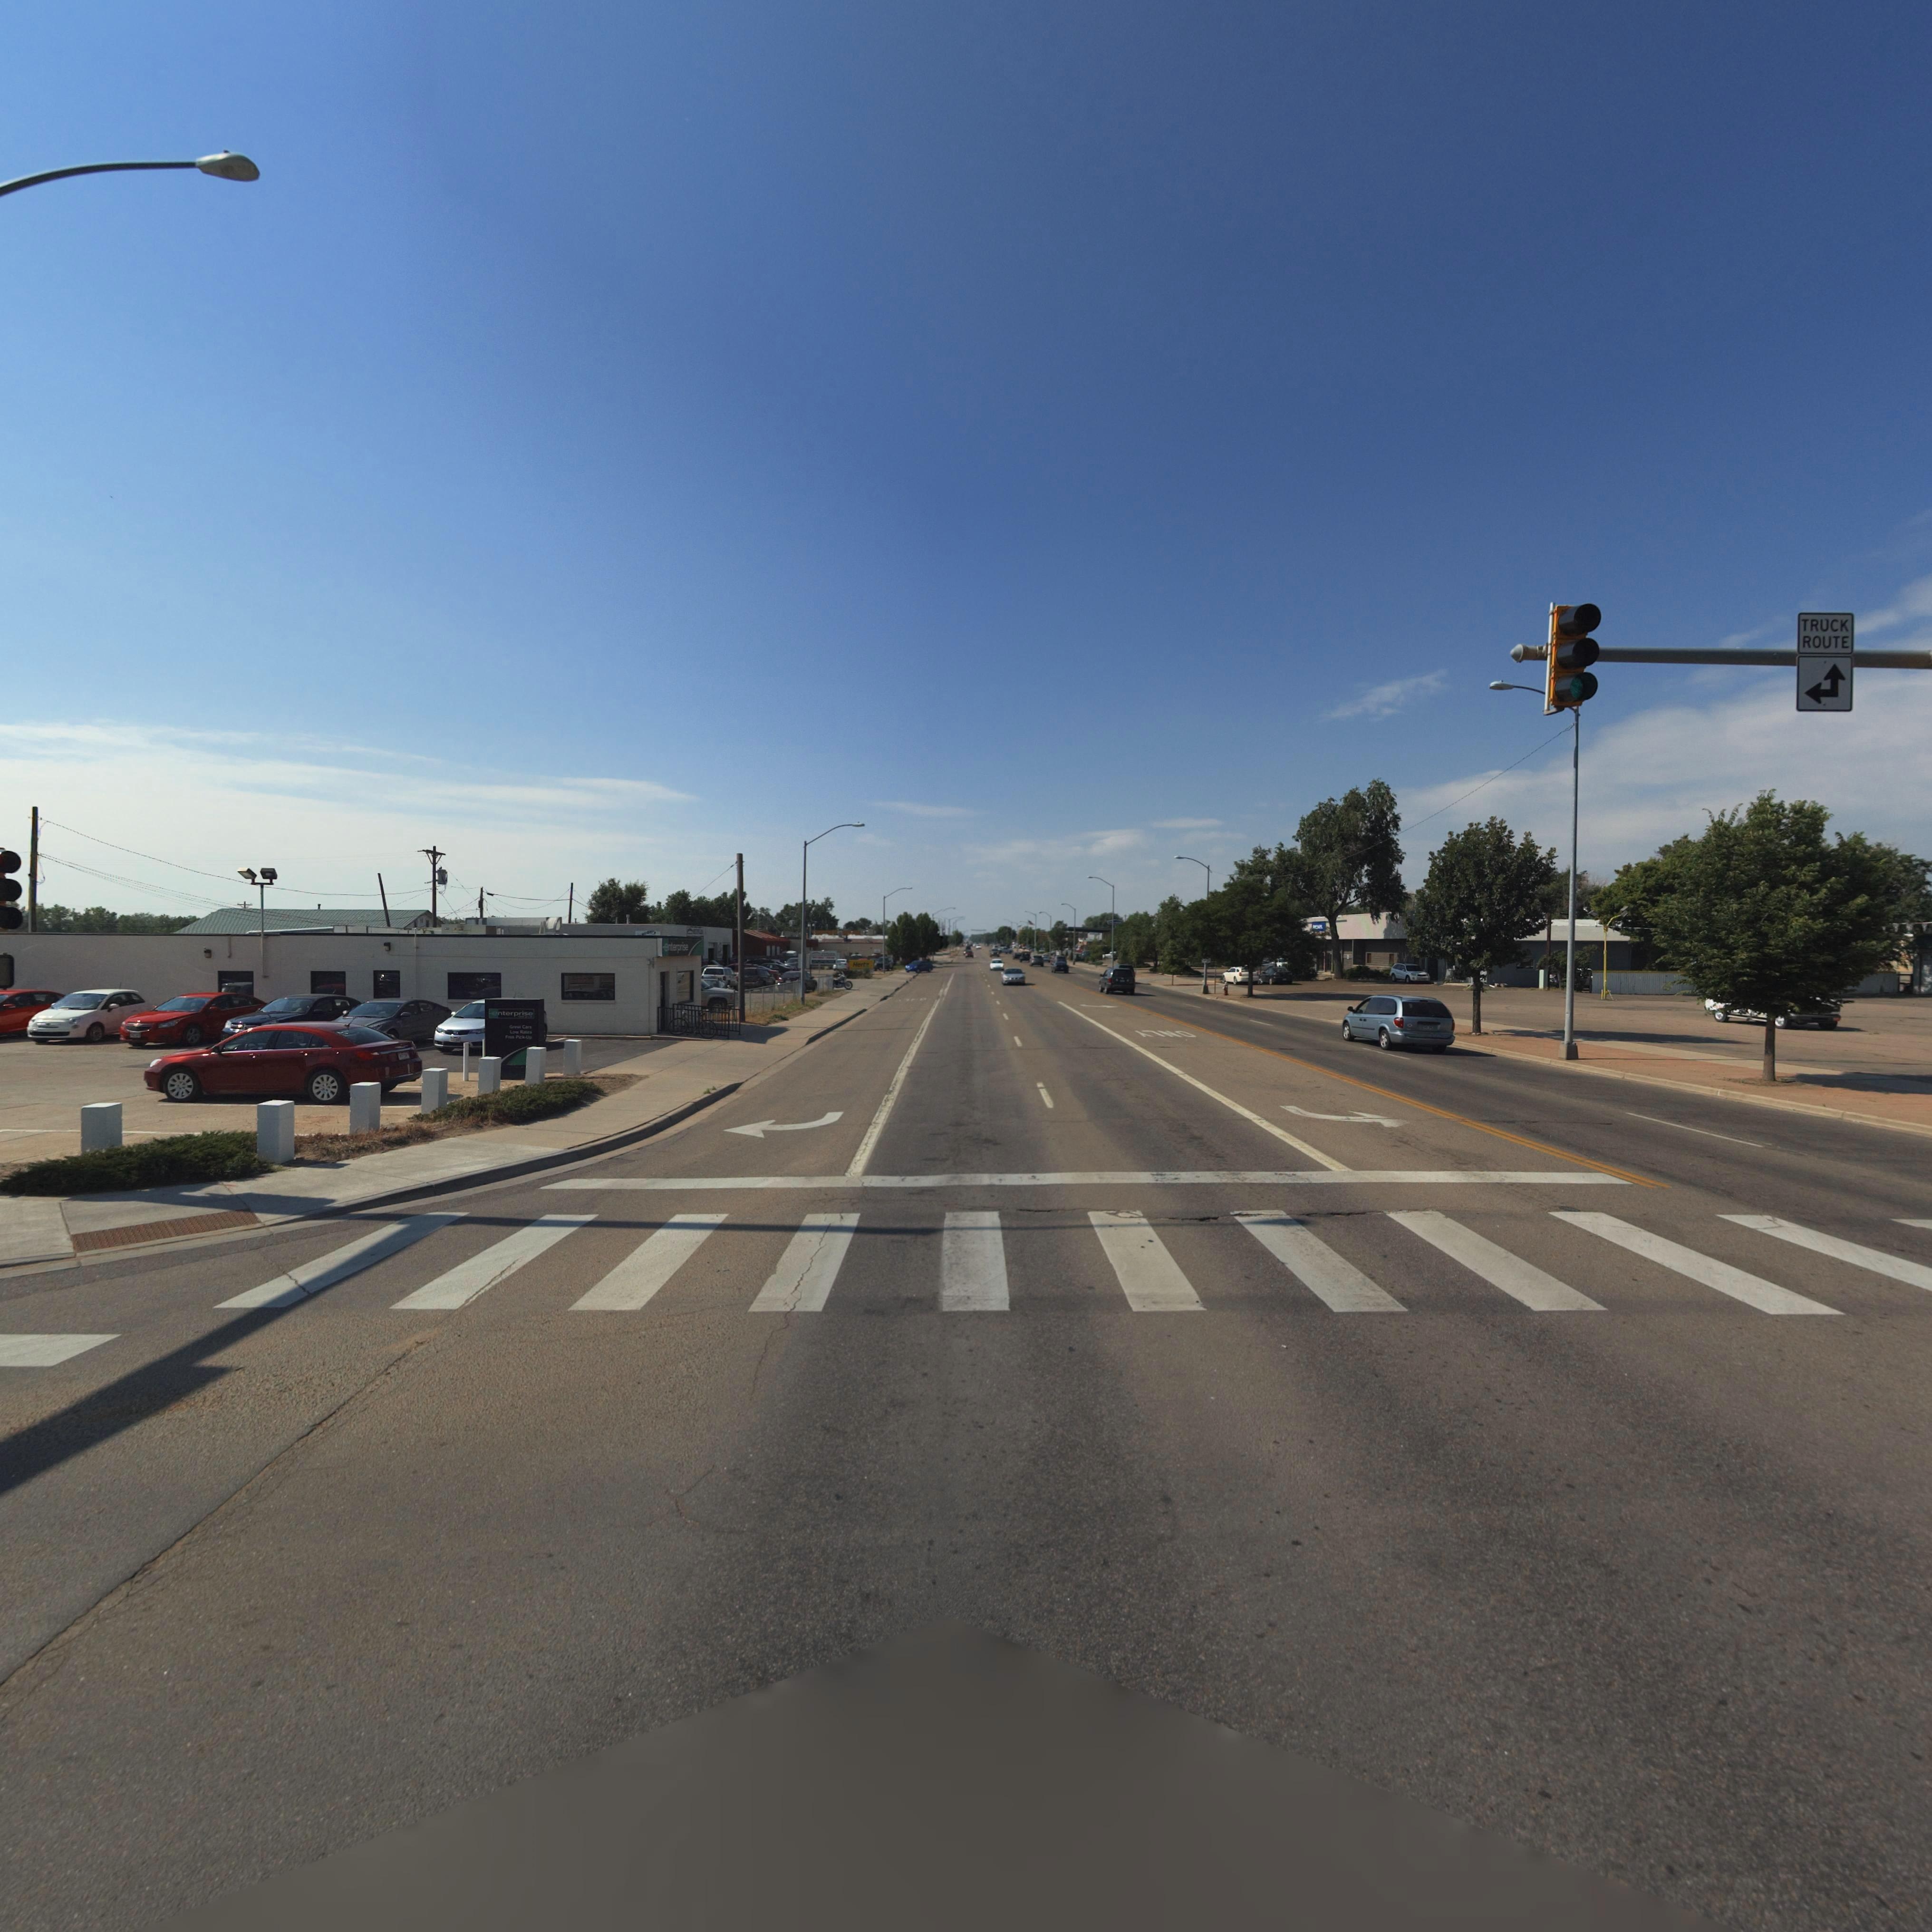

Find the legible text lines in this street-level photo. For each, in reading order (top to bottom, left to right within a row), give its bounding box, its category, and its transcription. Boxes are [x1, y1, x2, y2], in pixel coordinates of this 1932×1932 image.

[662, 941, 688, 954] BusinessName: enterprise
[852, 962, 869, 966] BusinessName: Hertz
[492, 1010, 533, 1017] BusinessName: enterprise